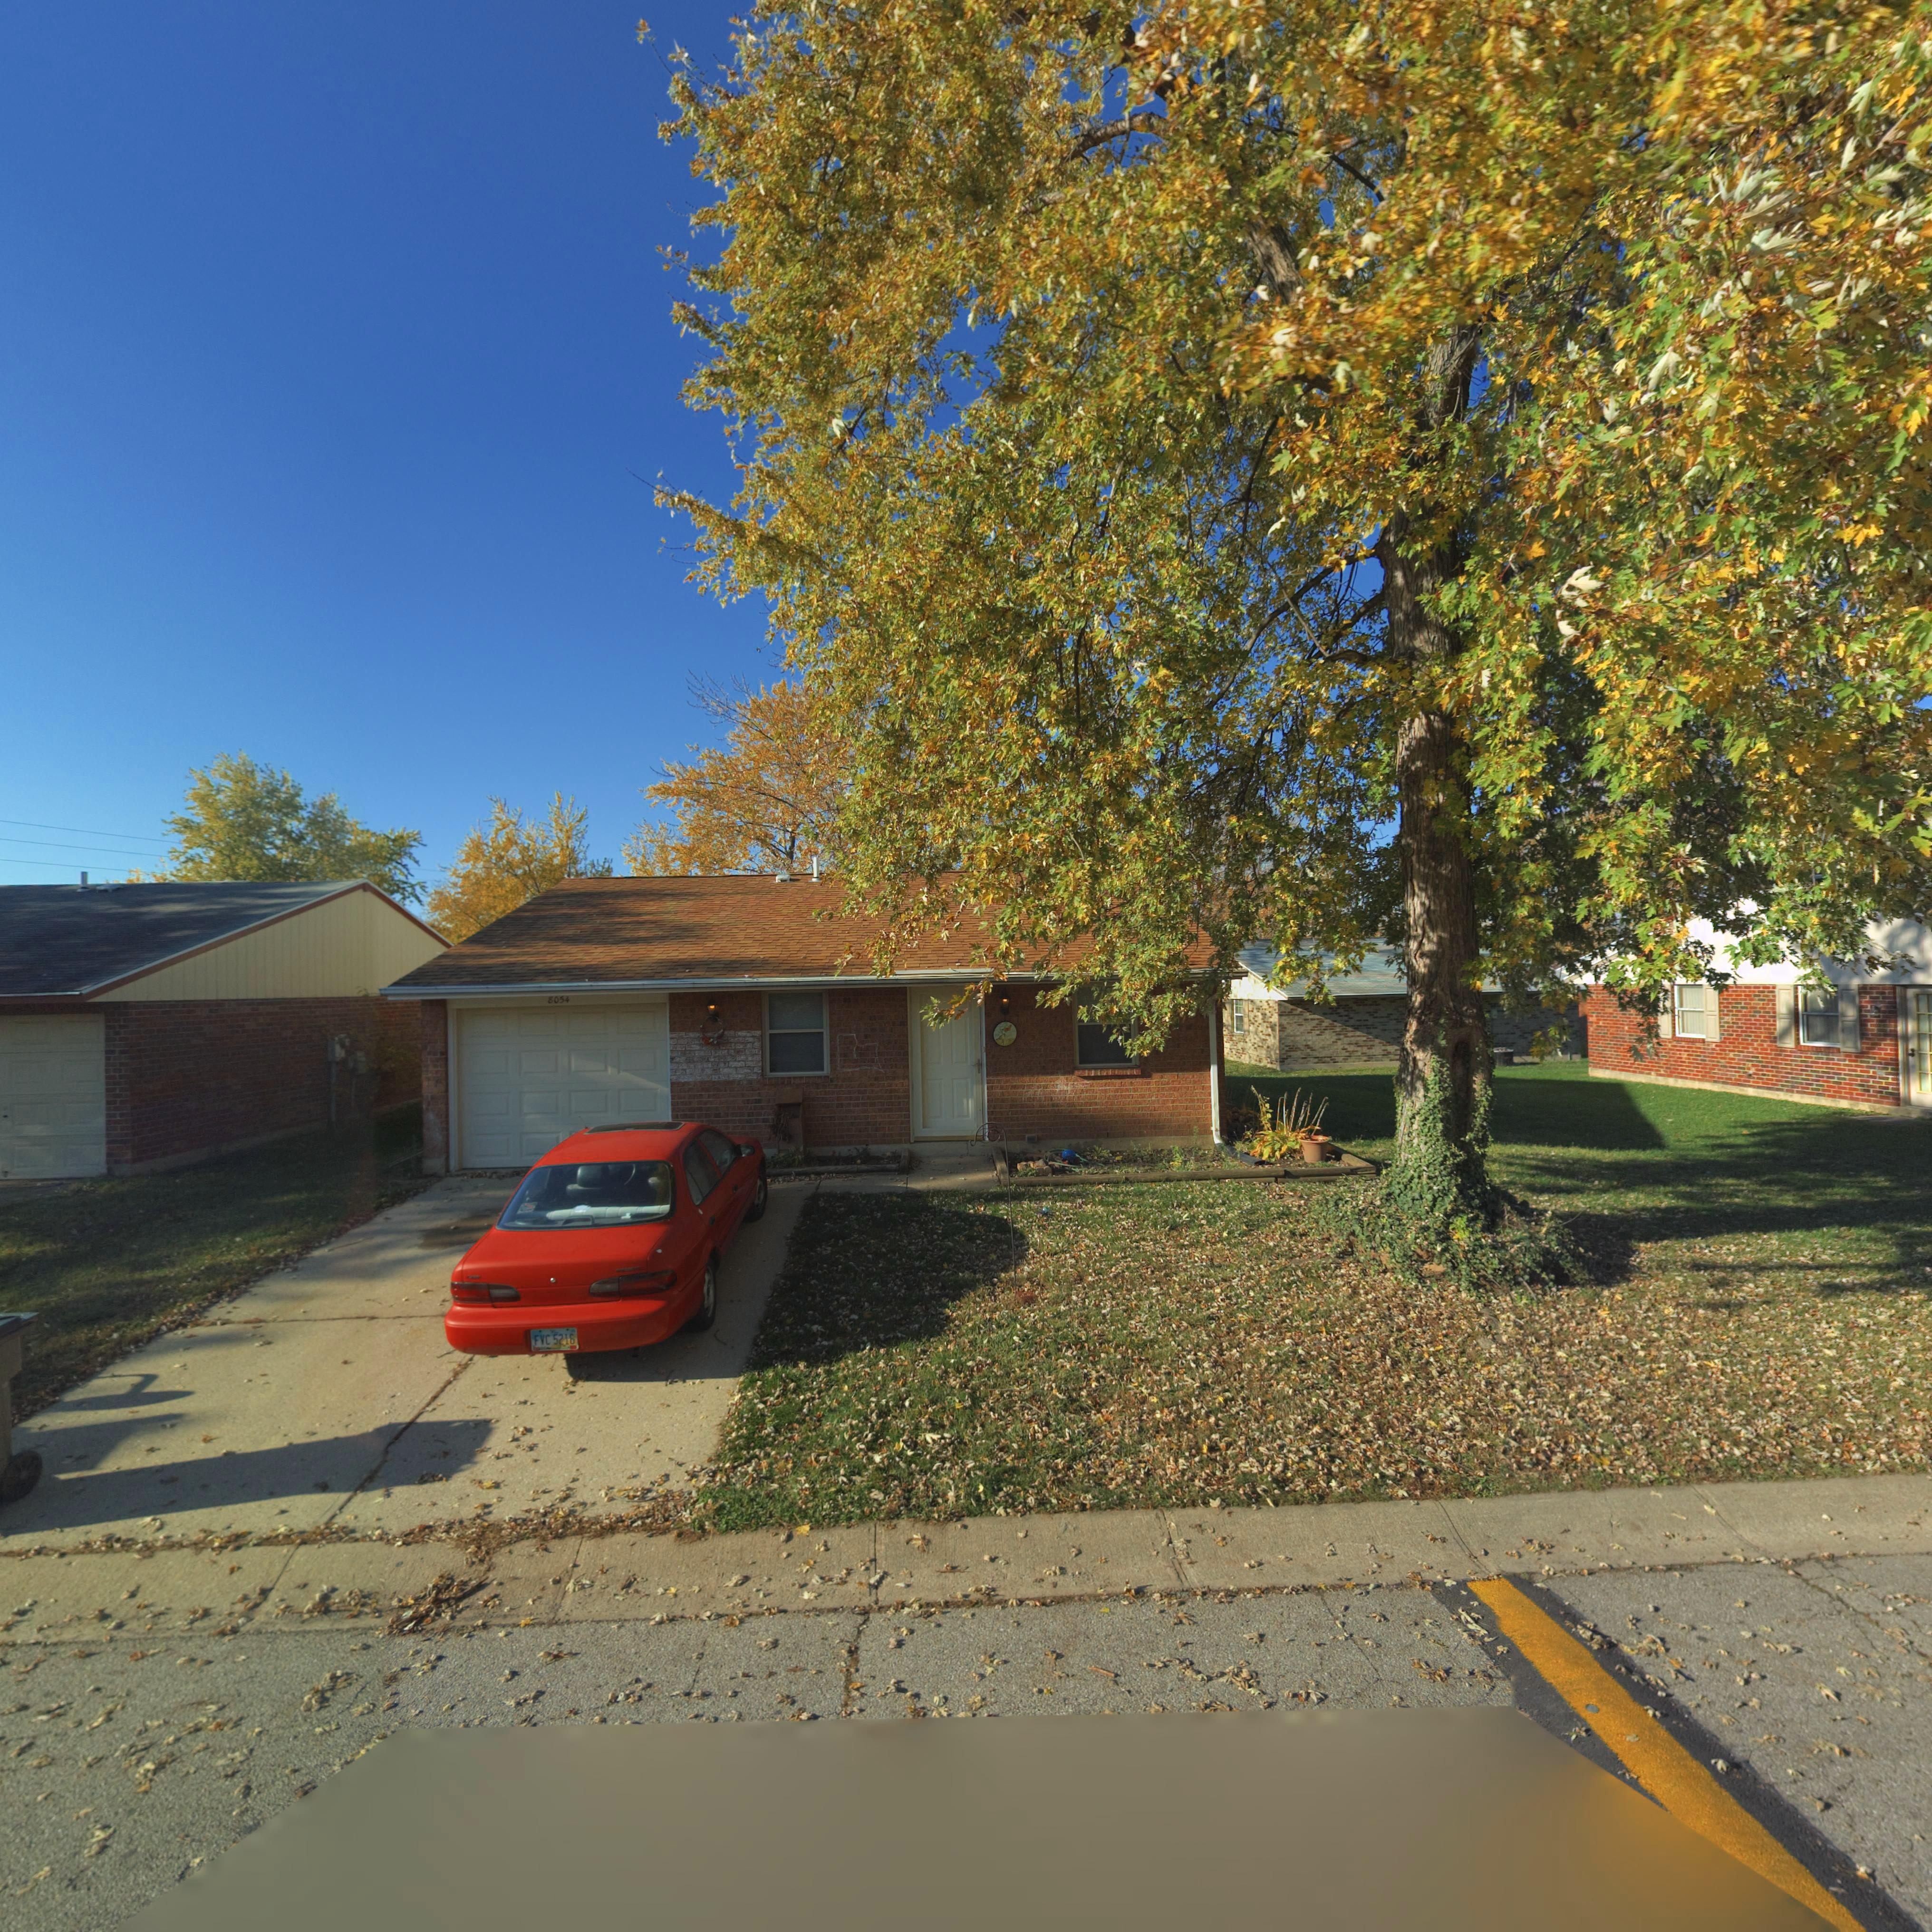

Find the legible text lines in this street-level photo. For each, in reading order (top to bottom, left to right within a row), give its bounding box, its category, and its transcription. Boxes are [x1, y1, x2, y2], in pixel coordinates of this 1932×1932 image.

[546, 995, 571, 1005] StreetNumber: 8054